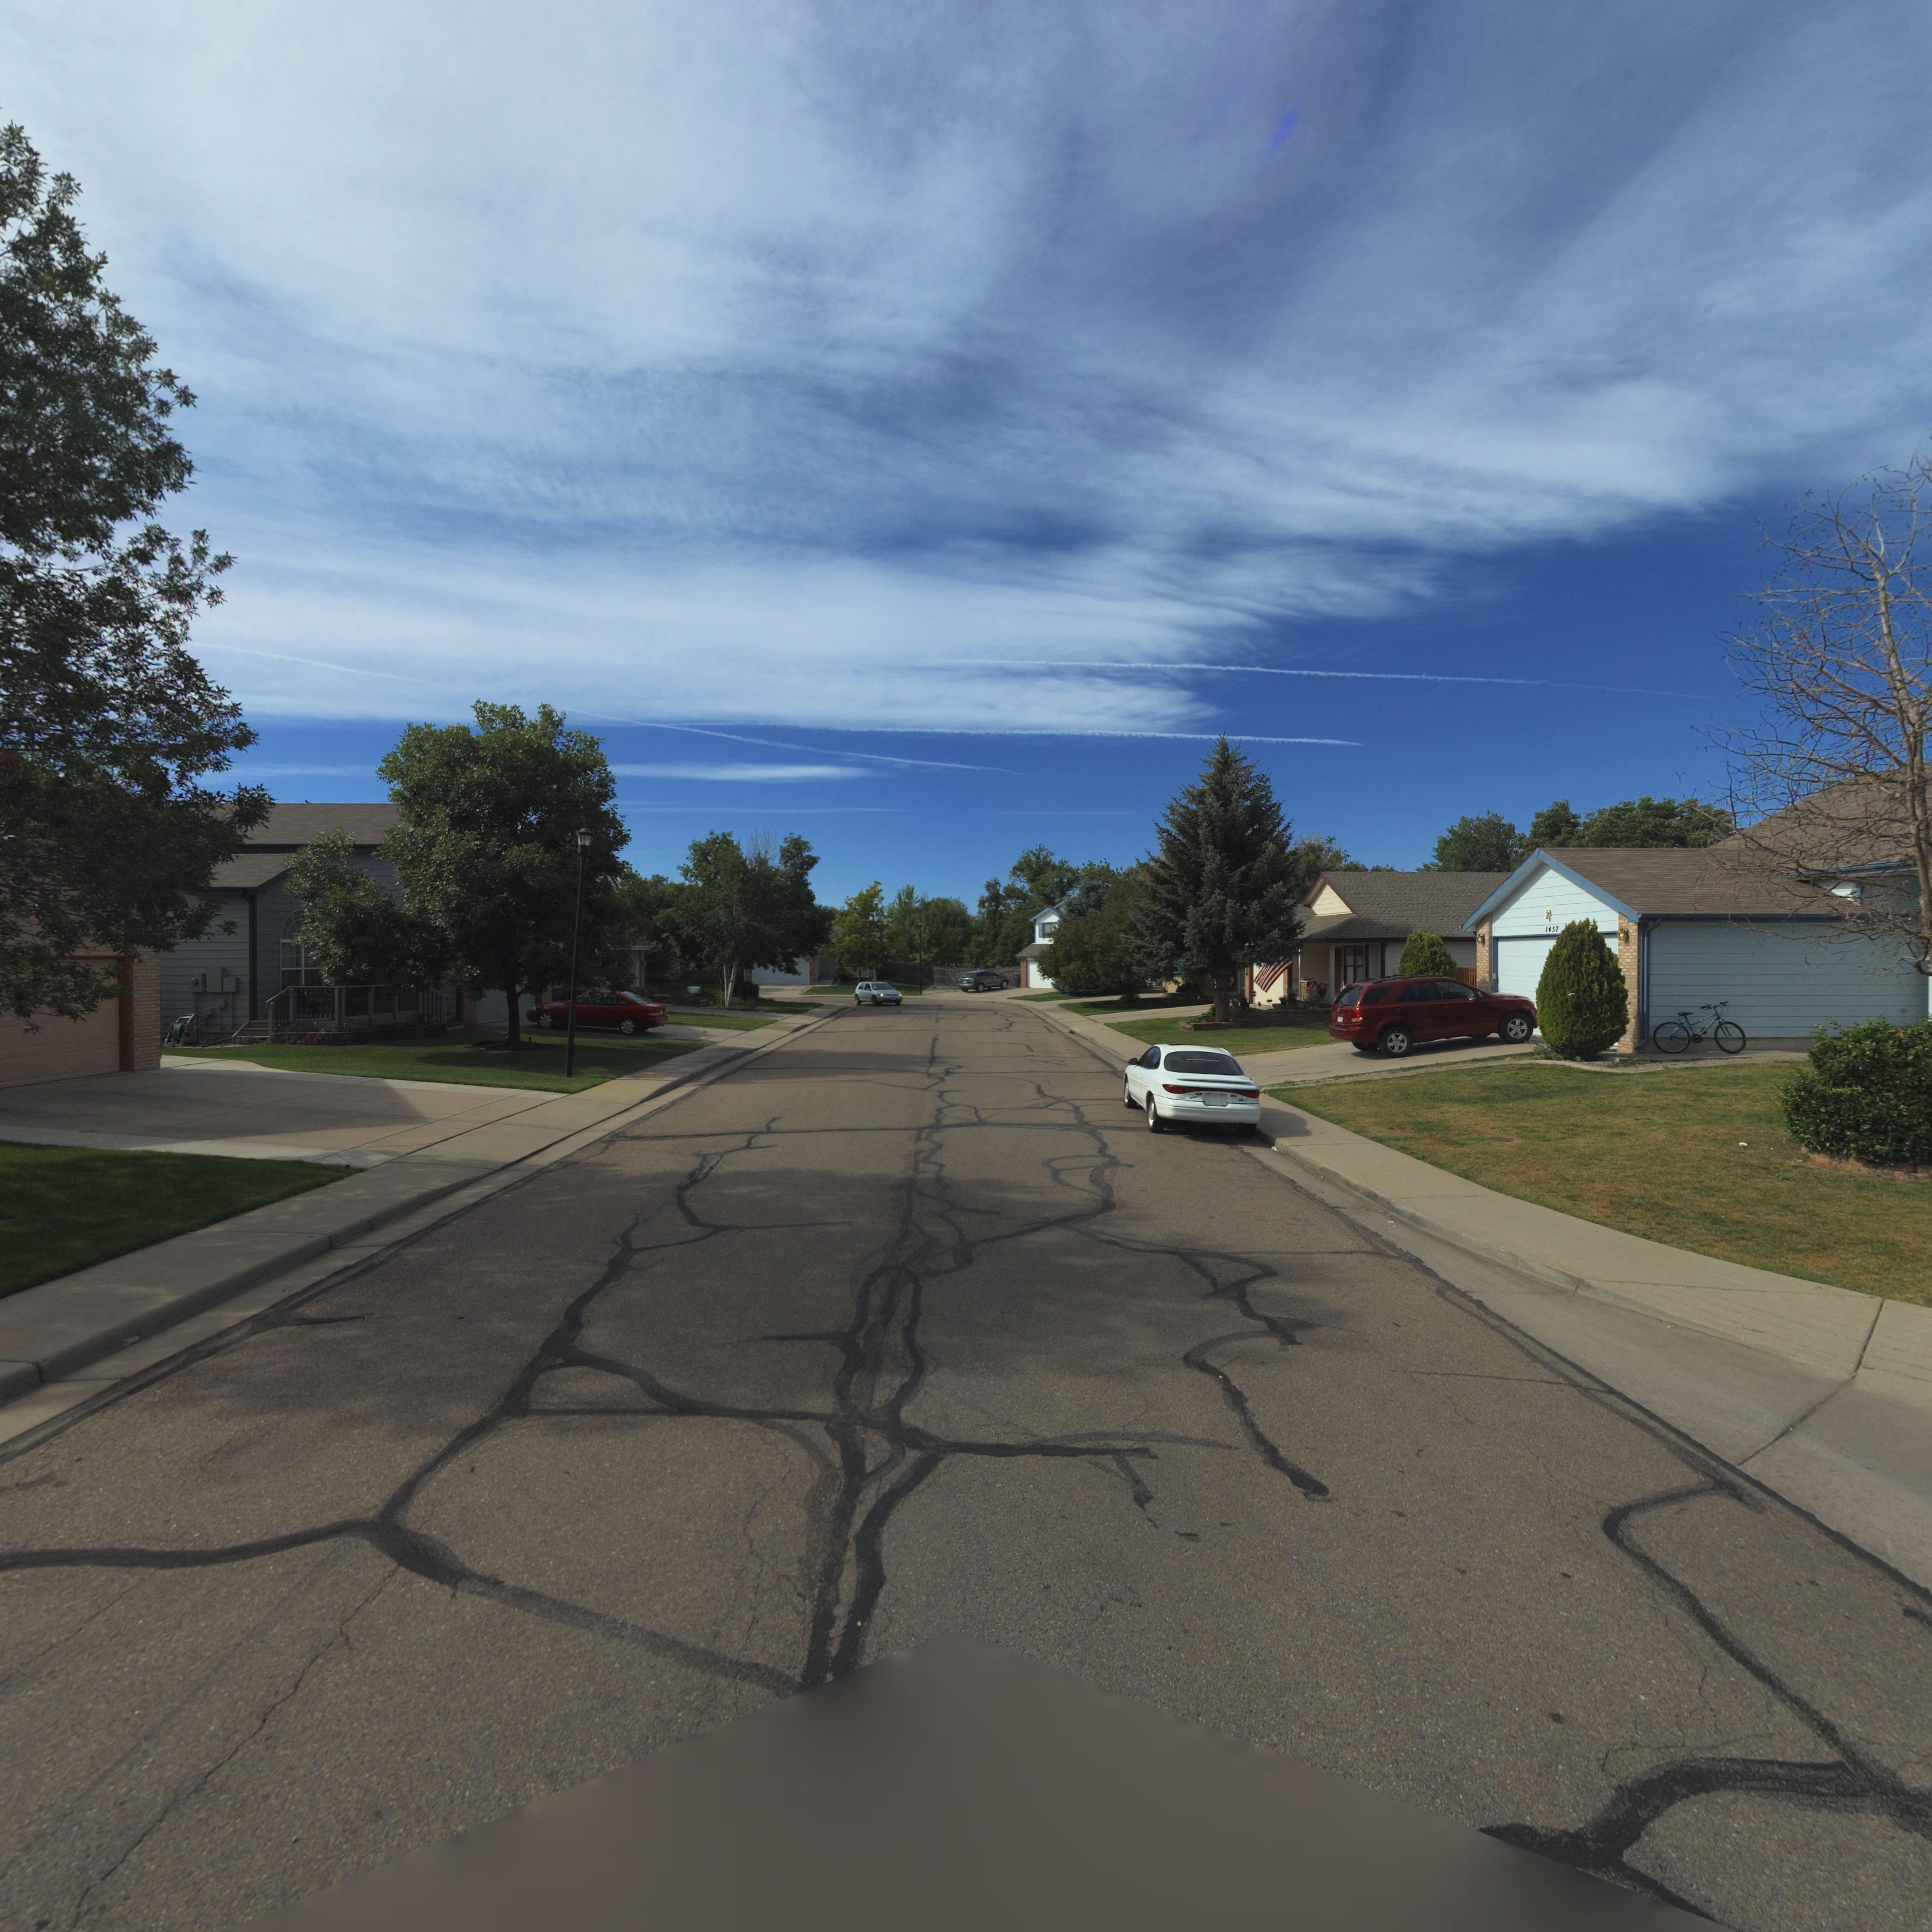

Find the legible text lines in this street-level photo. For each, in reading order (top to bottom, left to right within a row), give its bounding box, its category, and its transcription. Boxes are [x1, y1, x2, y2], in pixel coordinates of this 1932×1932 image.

[1545, 925, 1559, 932] StreetNumber: 1457